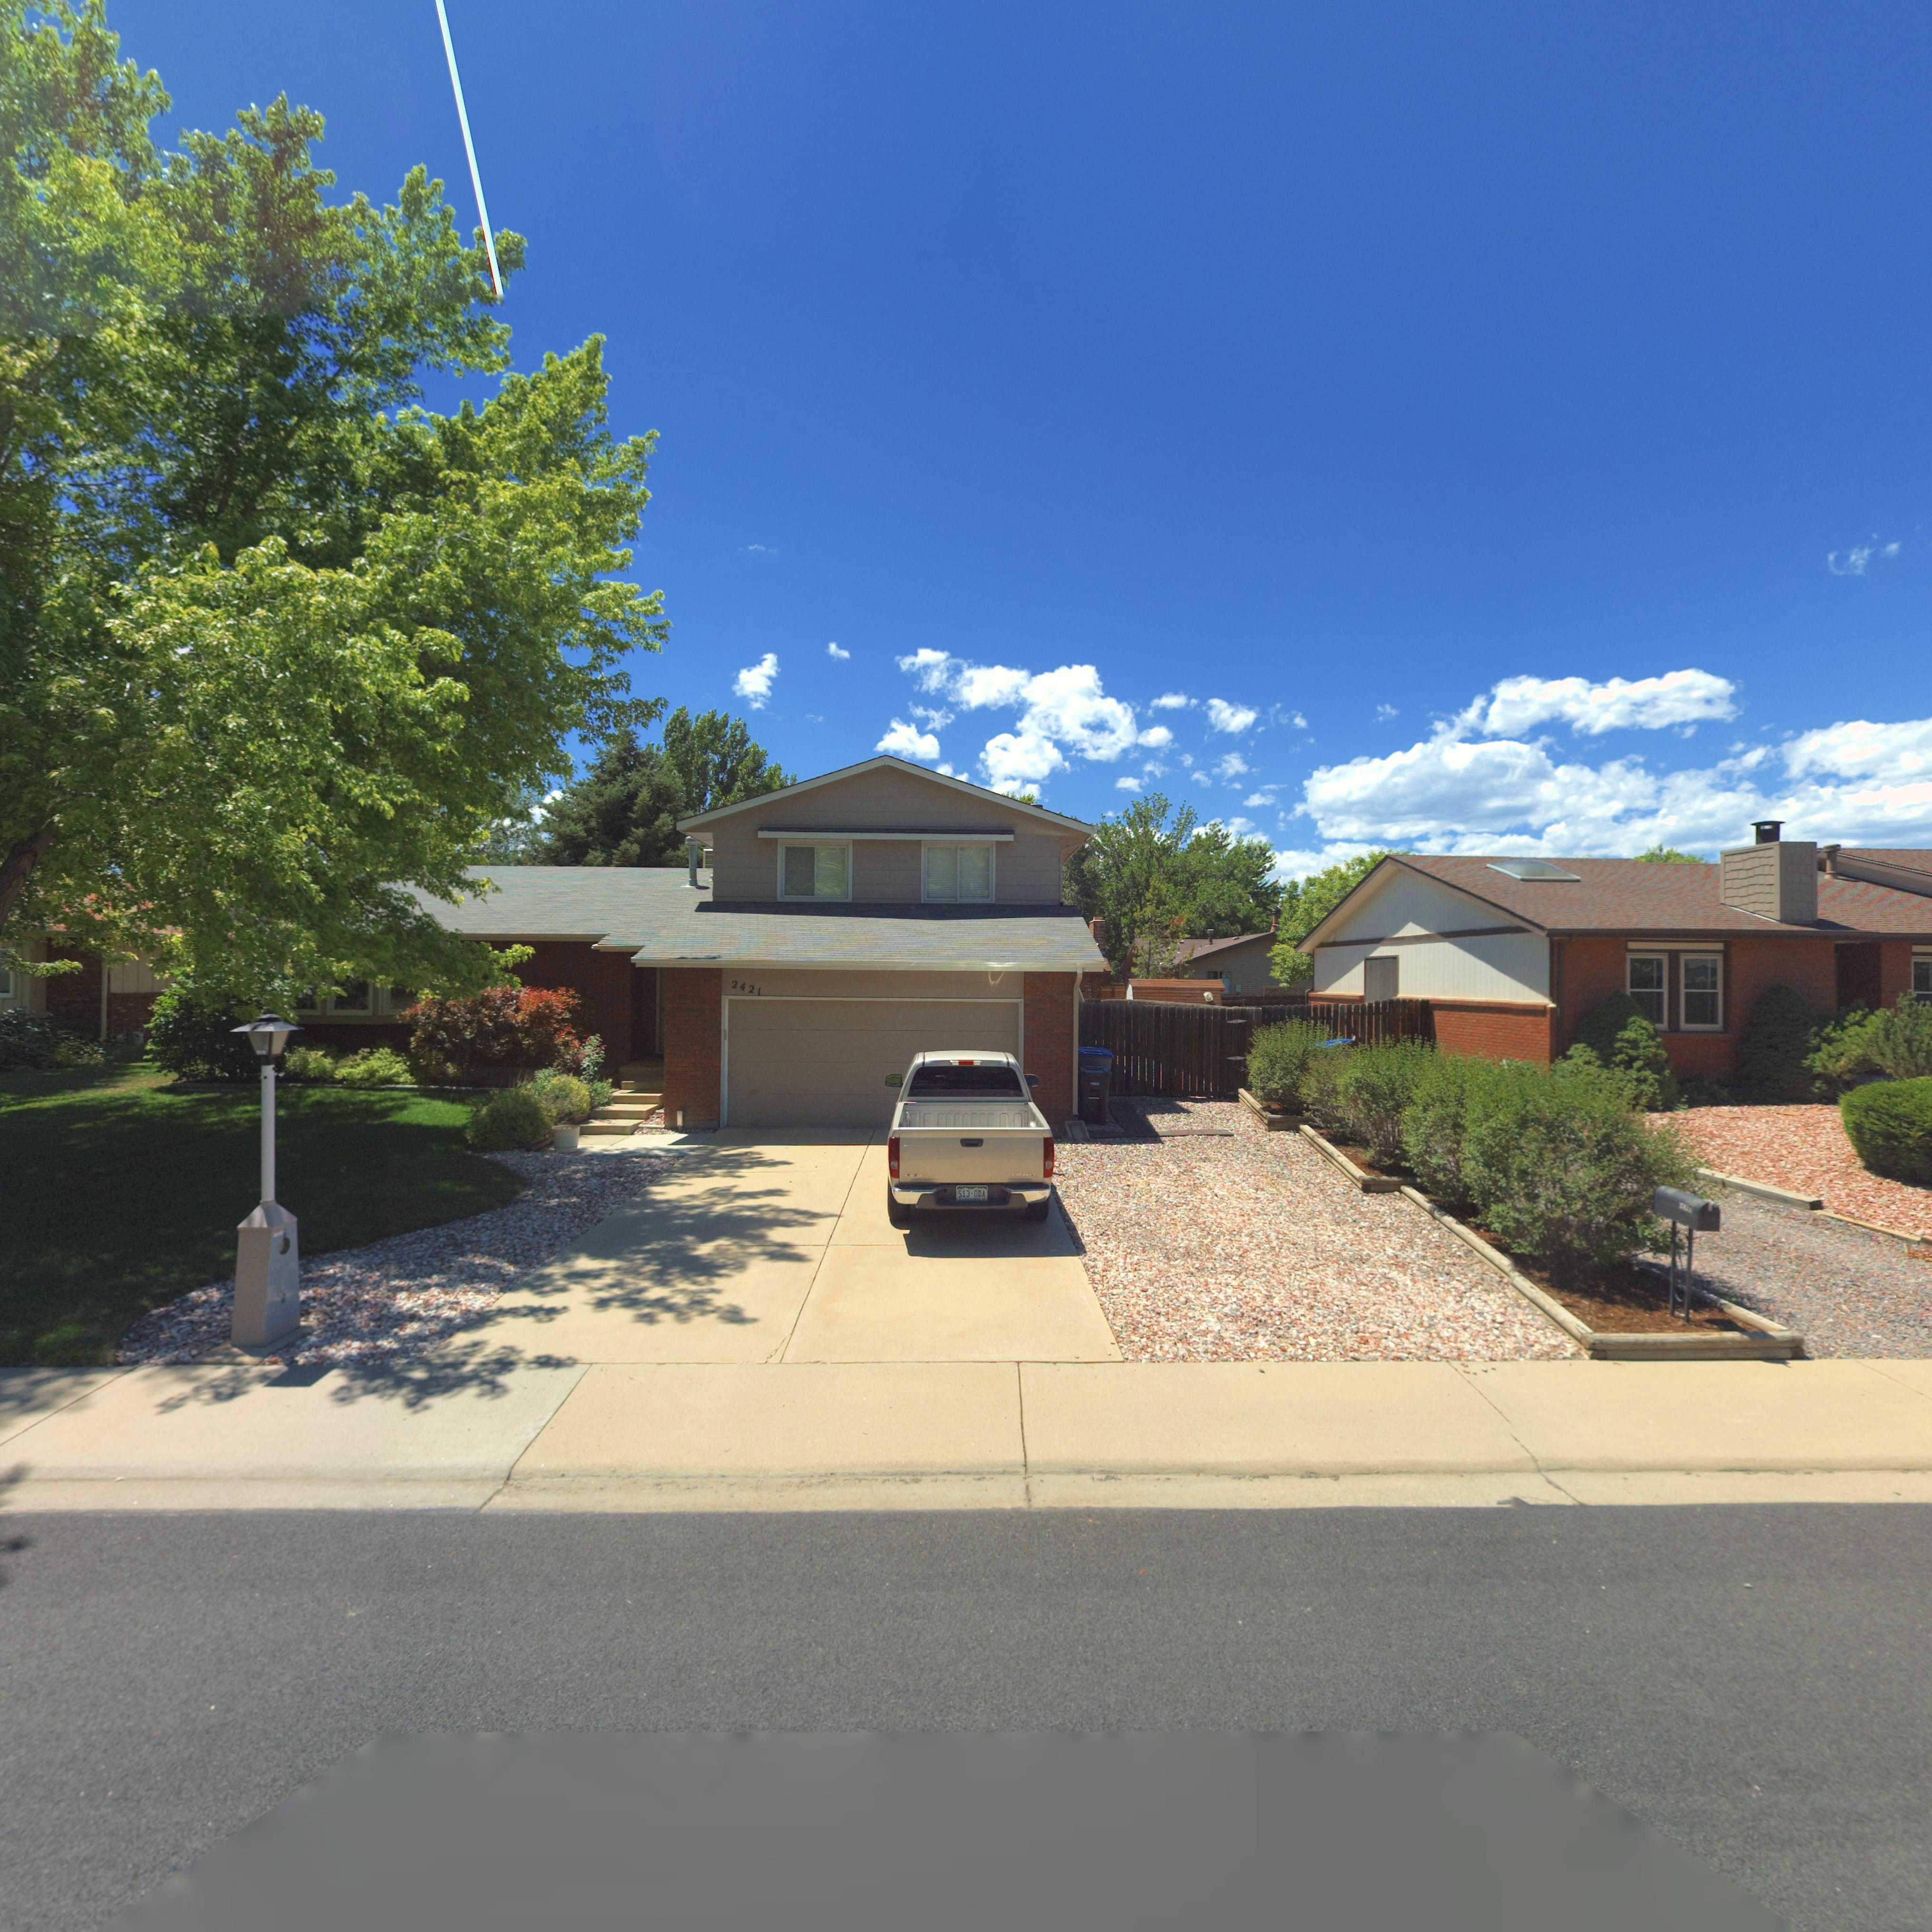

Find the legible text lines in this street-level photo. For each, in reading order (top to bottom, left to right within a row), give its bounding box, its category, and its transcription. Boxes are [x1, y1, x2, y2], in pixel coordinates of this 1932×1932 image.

[730, 979, 761, 996] StreetNumber: 2421
[1679, 1202, 1692, 1213] StreetNumber: 2***